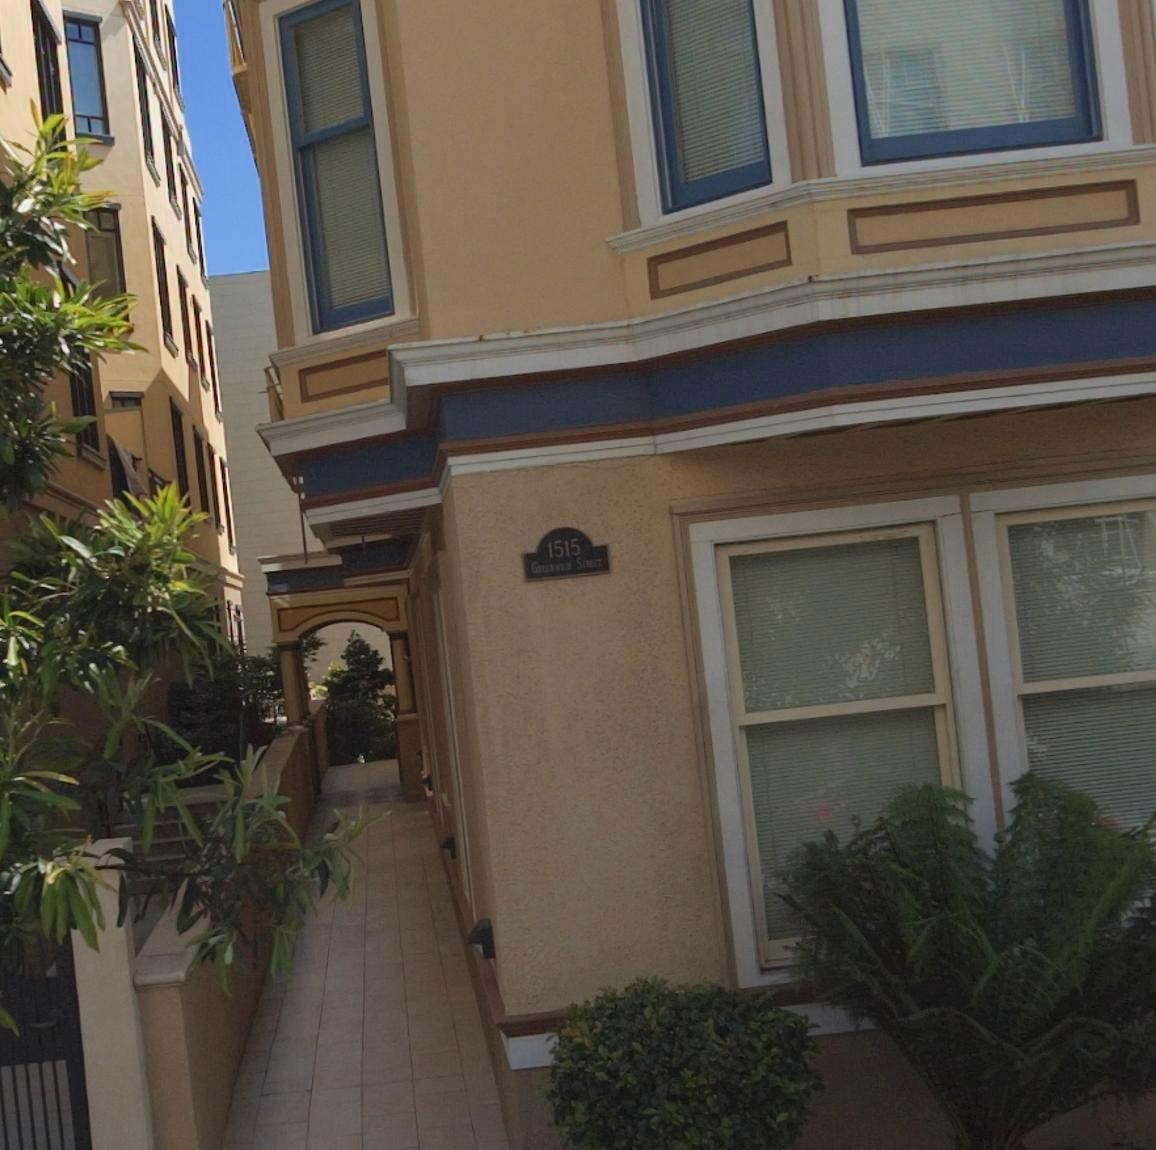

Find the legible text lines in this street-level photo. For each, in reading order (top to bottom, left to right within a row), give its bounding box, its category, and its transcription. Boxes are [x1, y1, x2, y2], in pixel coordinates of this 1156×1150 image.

[546, 534, 581, 561] StreetNumber: 1515
[575, 556, 603, 571] StreetName: STREET